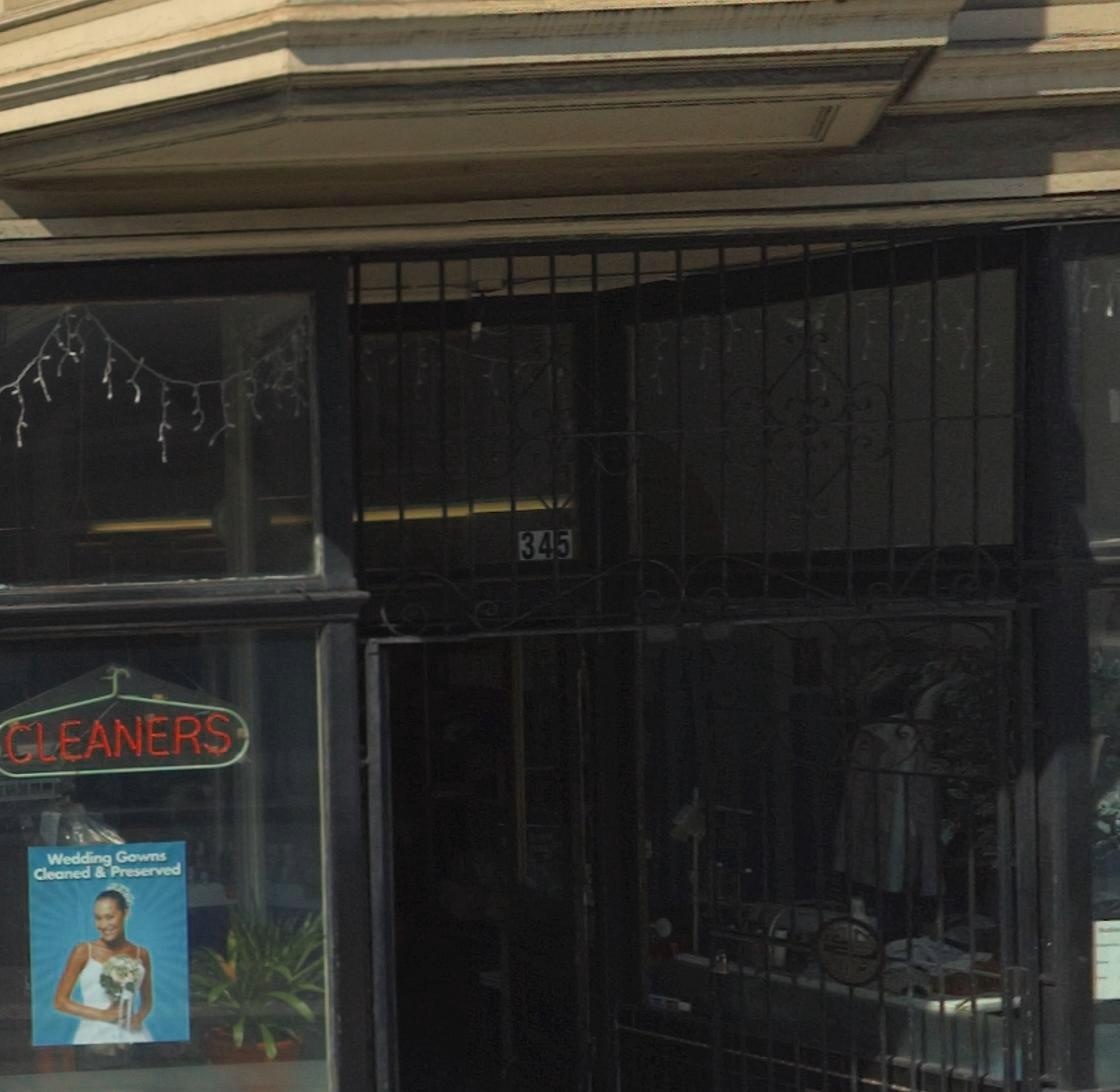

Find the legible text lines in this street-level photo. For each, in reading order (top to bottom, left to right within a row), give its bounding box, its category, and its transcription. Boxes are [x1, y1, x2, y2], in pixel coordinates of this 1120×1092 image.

[520, 528, 570, 561] StreetNumber: 345
[1, 709, 238, 764] None: CLEANERS
[43, 848, 169, 868] None: Weddings Gowns
[31, 859, 183, 881] None: Cleaned & Preserved